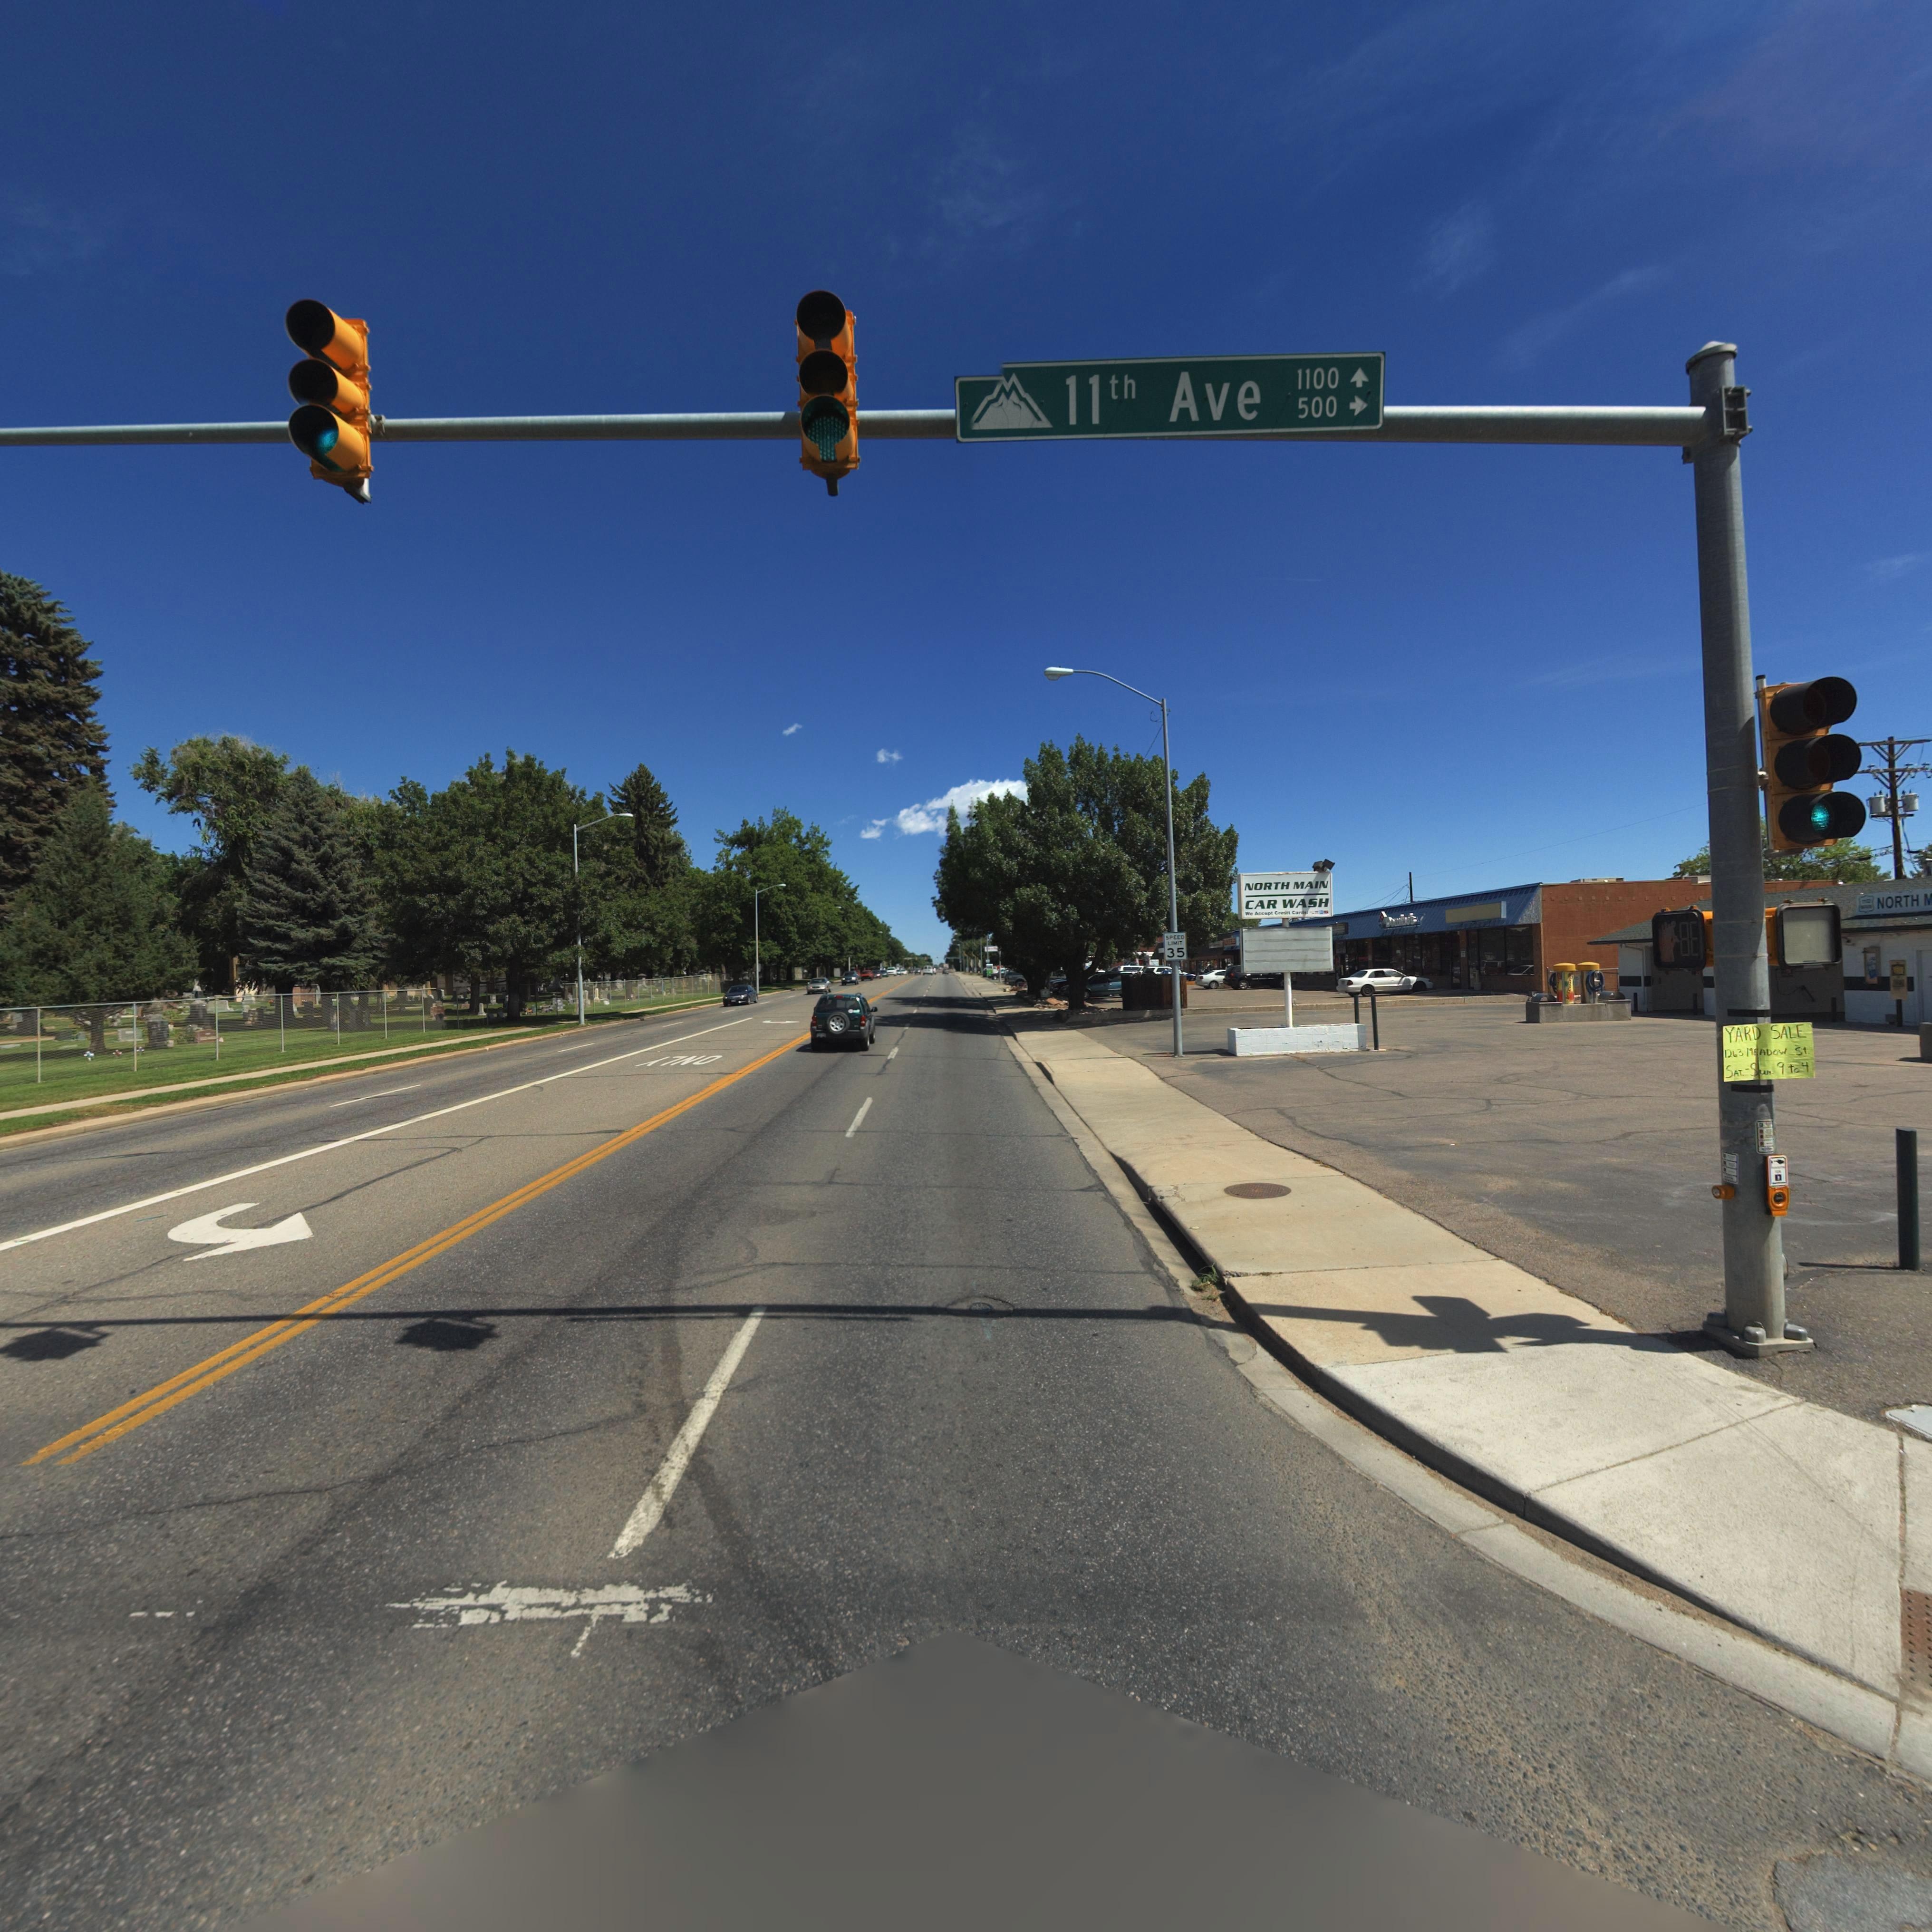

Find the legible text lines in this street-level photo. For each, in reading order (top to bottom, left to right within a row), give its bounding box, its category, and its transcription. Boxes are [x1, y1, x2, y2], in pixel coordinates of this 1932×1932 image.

[1297, 366, 1339, 390] StreetNumberRange: 1100
[1065, 370, 1263, 426] StreetName: 11th Ave
[1298, 395, 1369, 419] StreetNumberRange: 500->
[1876, 894, 1919, 909] BusinessName: NORTH
[1385, 913, 1417, 927] BusinessName: Dom****
[1724, 1048, 1744, 1059] StreetNumber: 1263
[1747, 1045, 1808, 1057] StreetName: MEADOW St